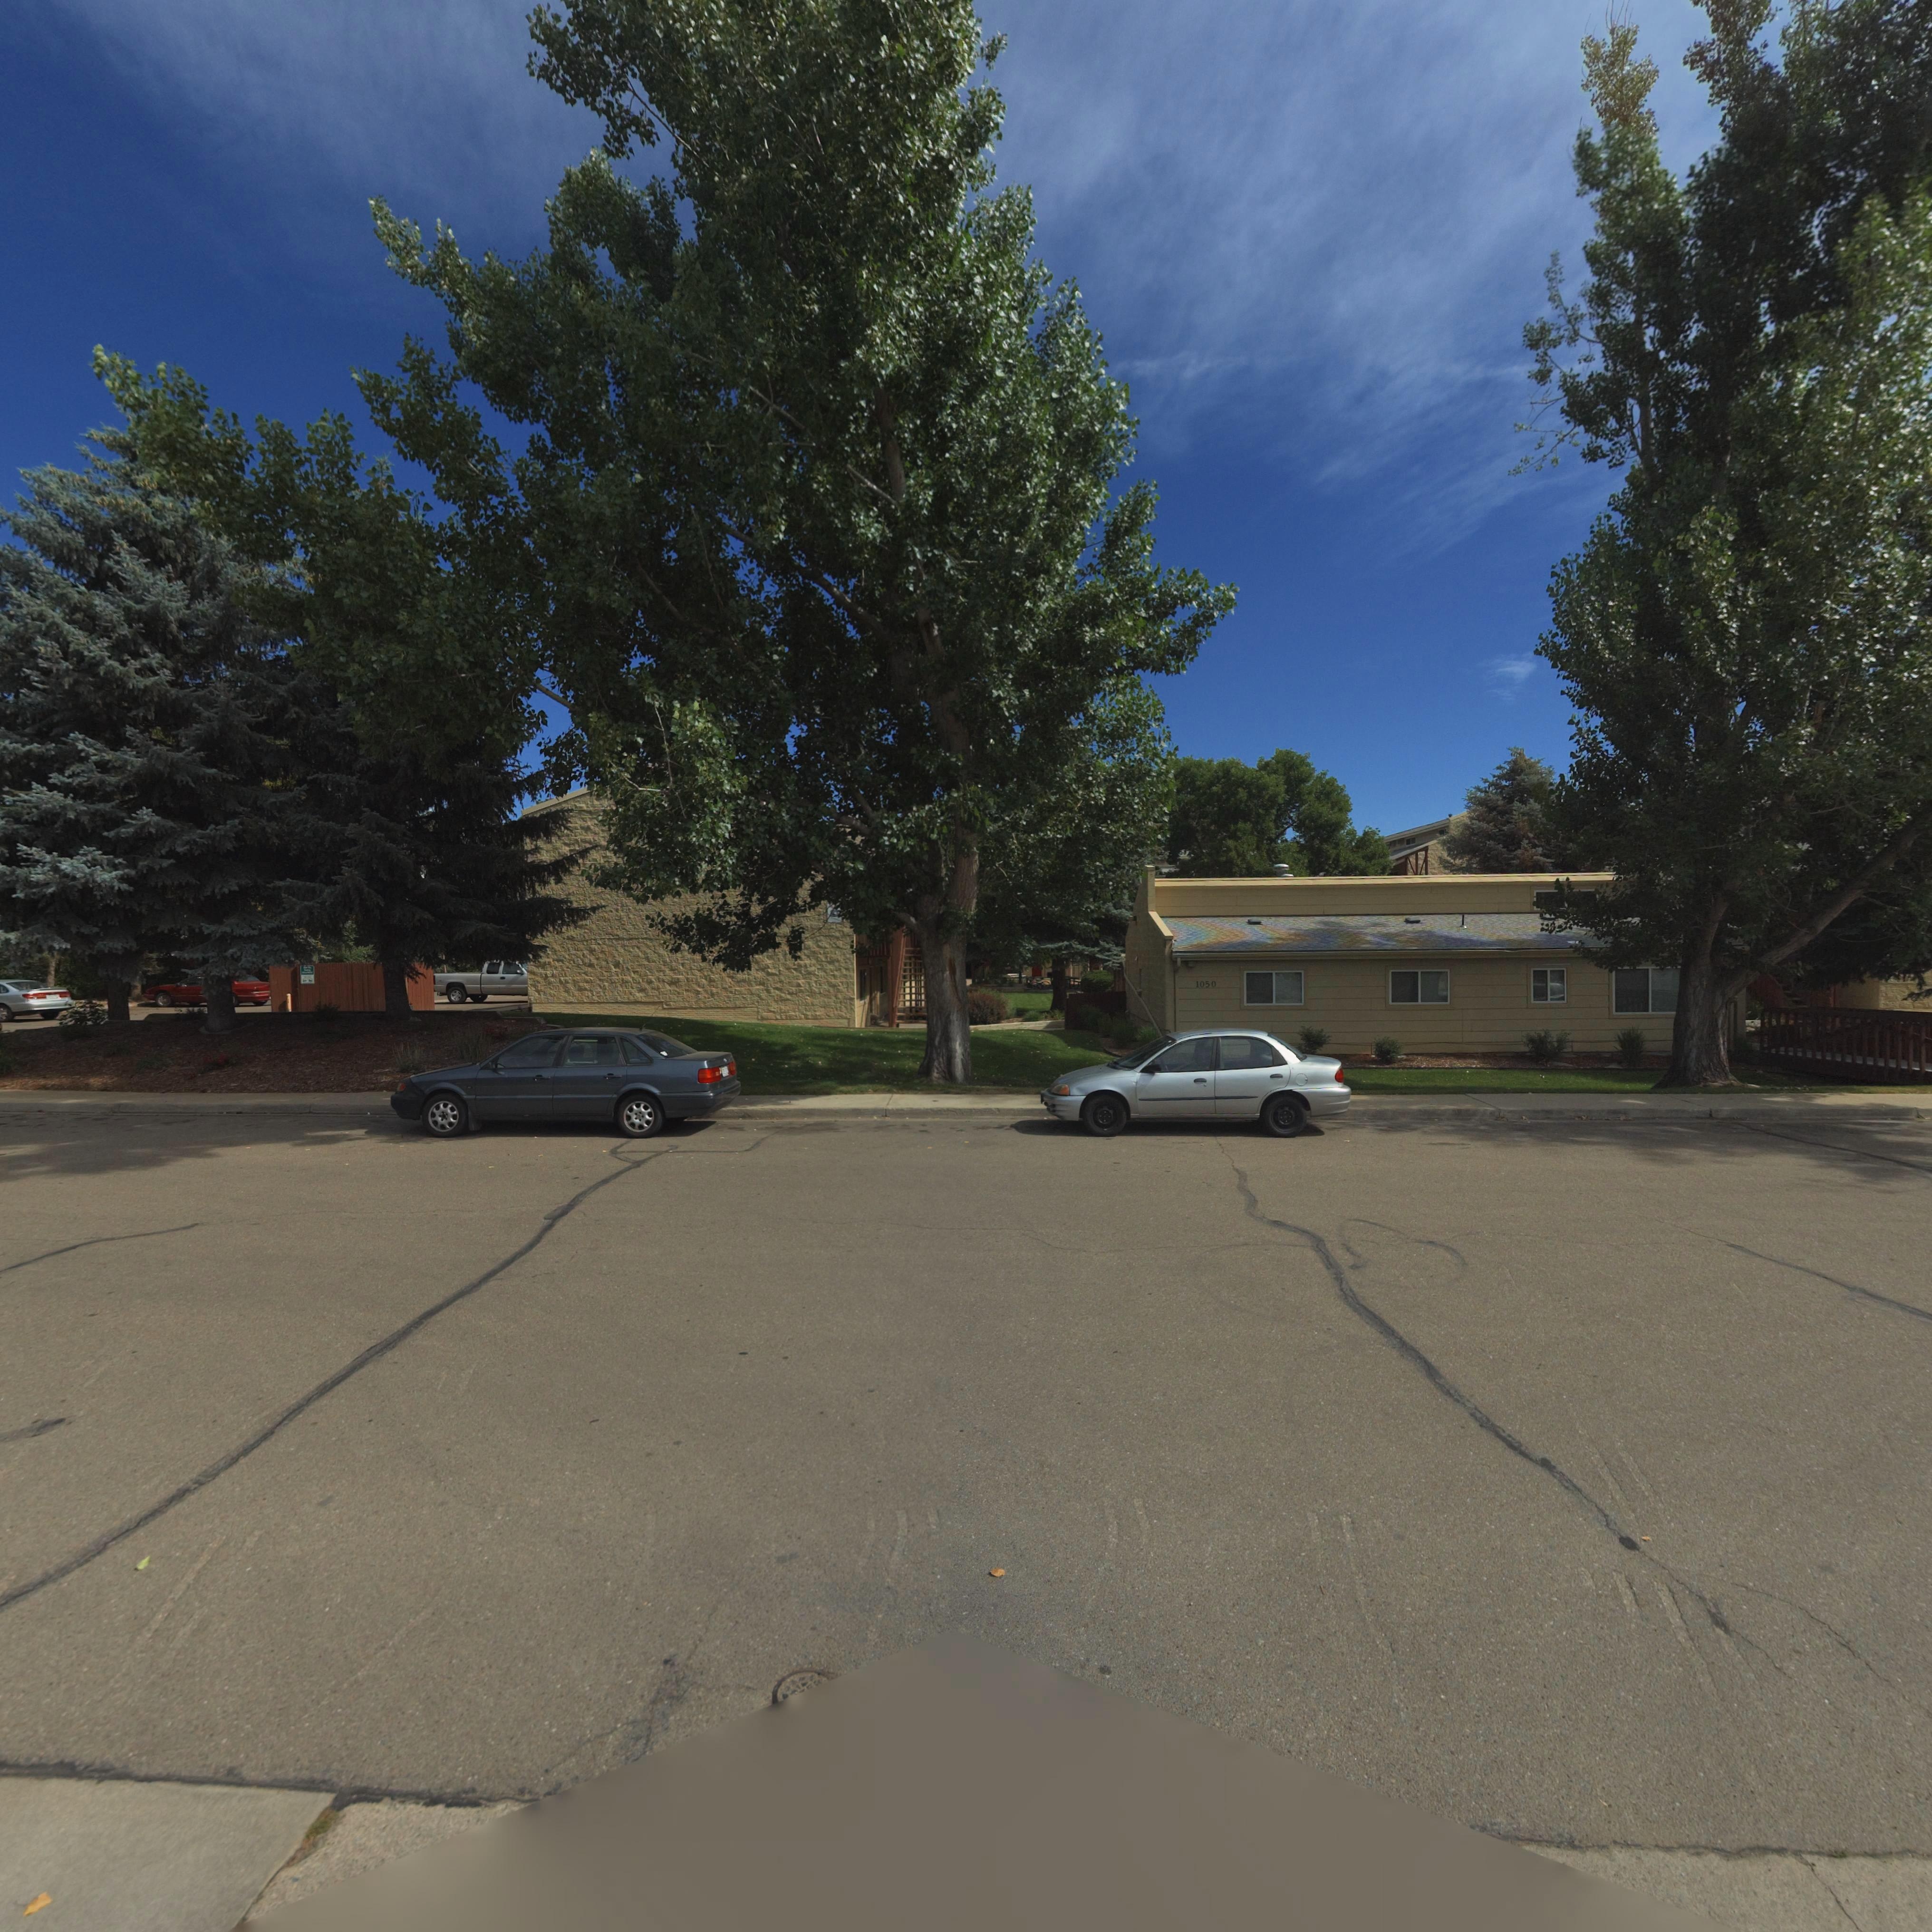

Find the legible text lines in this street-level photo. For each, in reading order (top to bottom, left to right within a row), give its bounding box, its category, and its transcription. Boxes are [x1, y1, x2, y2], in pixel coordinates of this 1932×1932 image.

[1196, 981, 1216, 987] StreetNumber: 1050